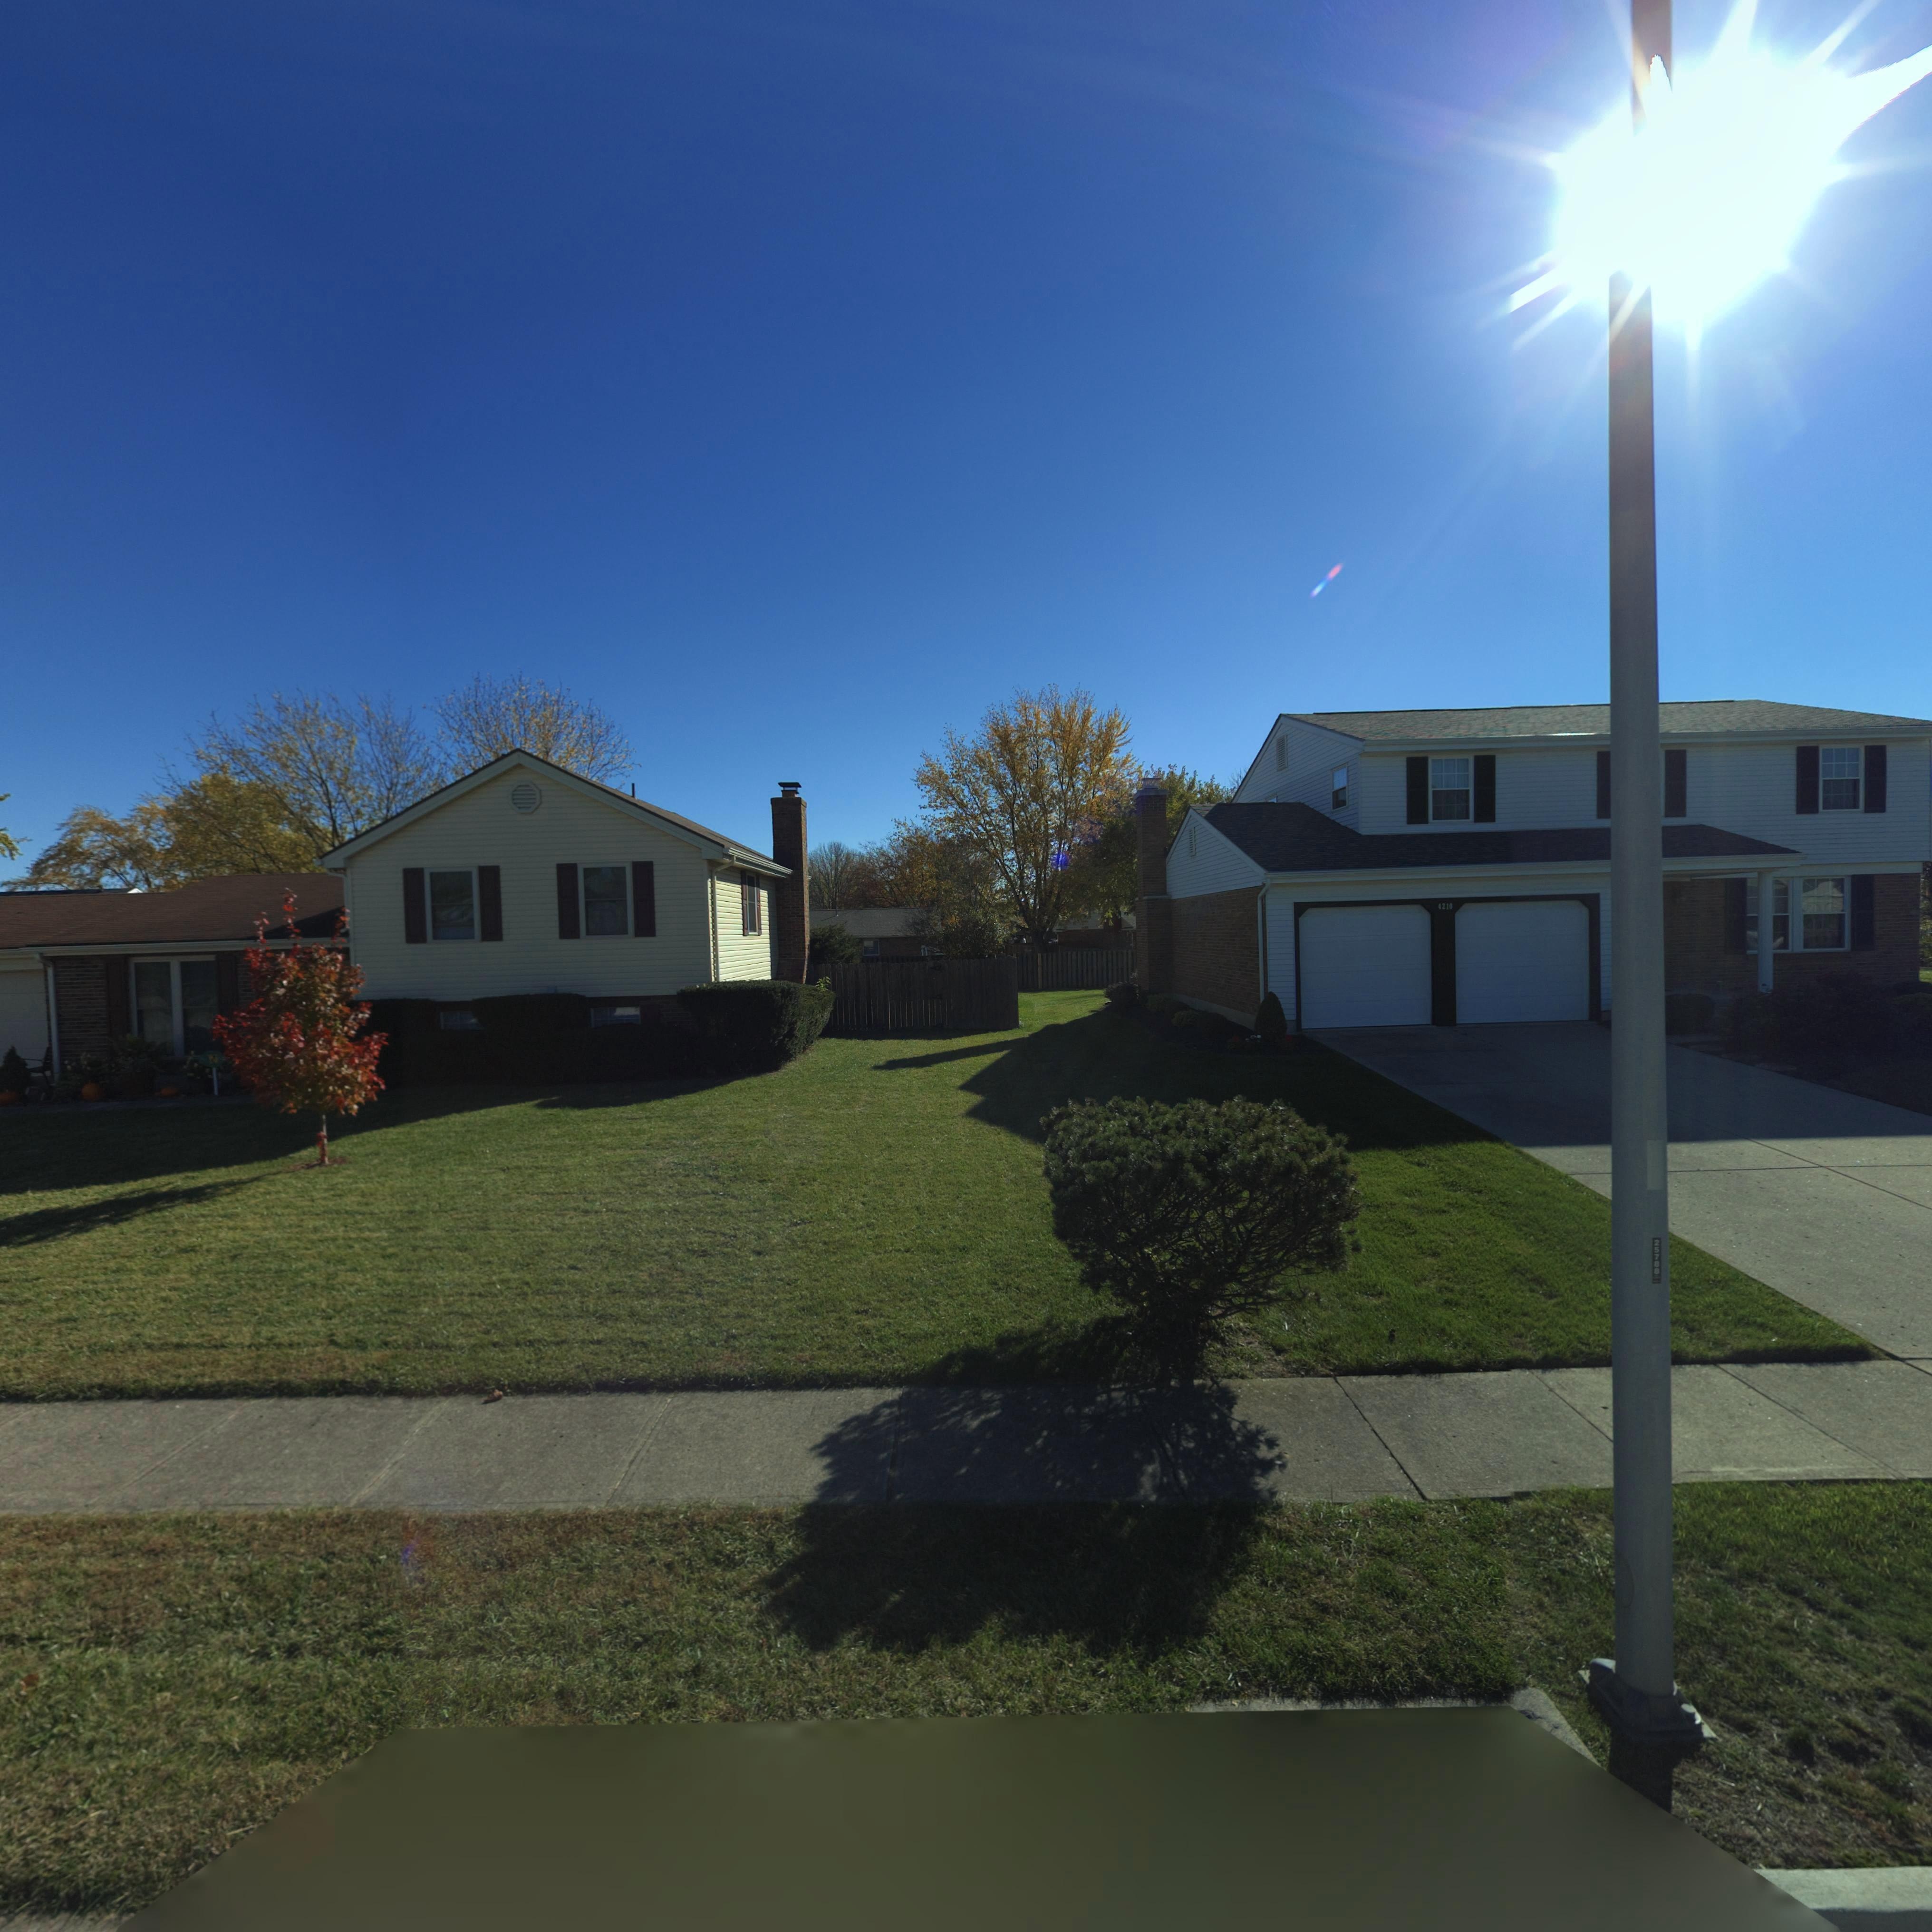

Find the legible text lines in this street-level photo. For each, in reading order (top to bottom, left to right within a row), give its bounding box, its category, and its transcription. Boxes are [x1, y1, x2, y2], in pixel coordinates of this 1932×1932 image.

[1437, 902, 1454, 911] StreetNumber: 4210